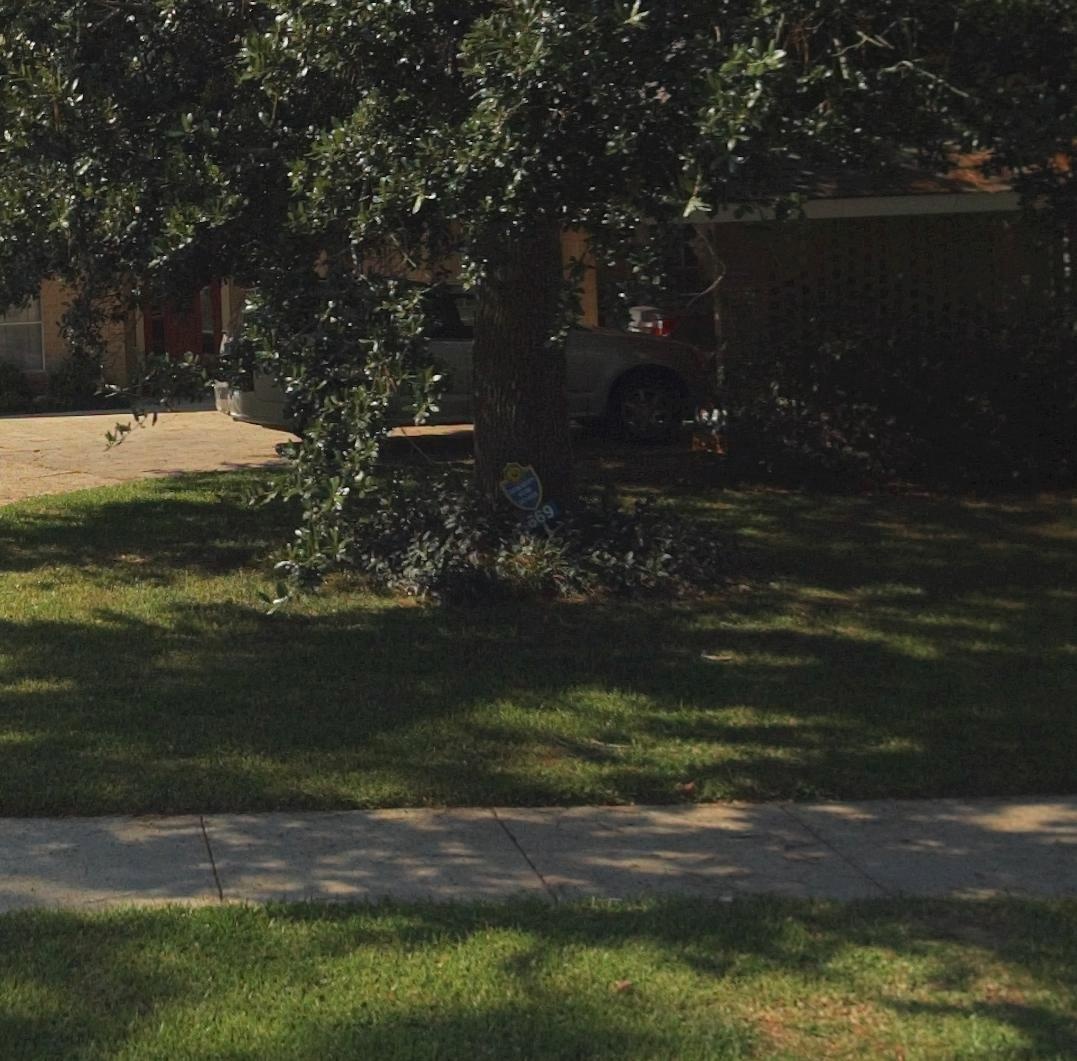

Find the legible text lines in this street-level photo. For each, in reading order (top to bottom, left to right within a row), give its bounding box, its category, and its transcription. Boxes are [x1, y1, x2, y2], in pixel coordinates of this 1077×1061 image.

[522, 502, 557, 531] StreetNumber: 669